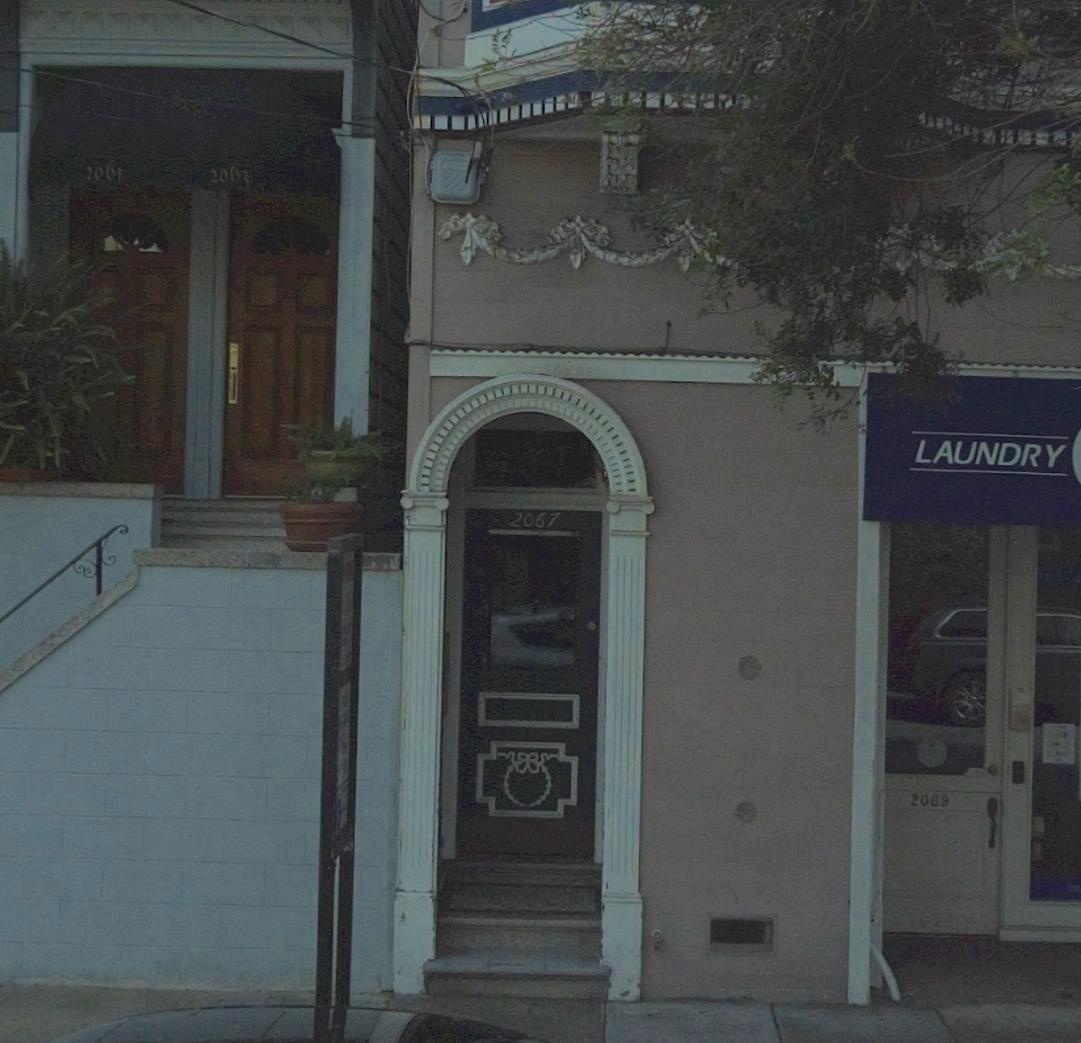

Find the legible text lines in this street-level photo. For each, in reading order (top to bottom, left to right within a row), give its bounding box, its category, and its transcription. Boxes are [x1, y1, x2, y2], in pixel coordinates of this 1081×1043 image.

[82, 157, 125, 184] StreetNumber: 2061
[205, 159, 255, 191] StreetNumber: 2063
[911, 436, 1071, 471] StreetNumber: LAUNDRY
[505, 509, 568, 531] StreetNumber: 2067
[908, 791, 952, 809] StreetNumber: *069